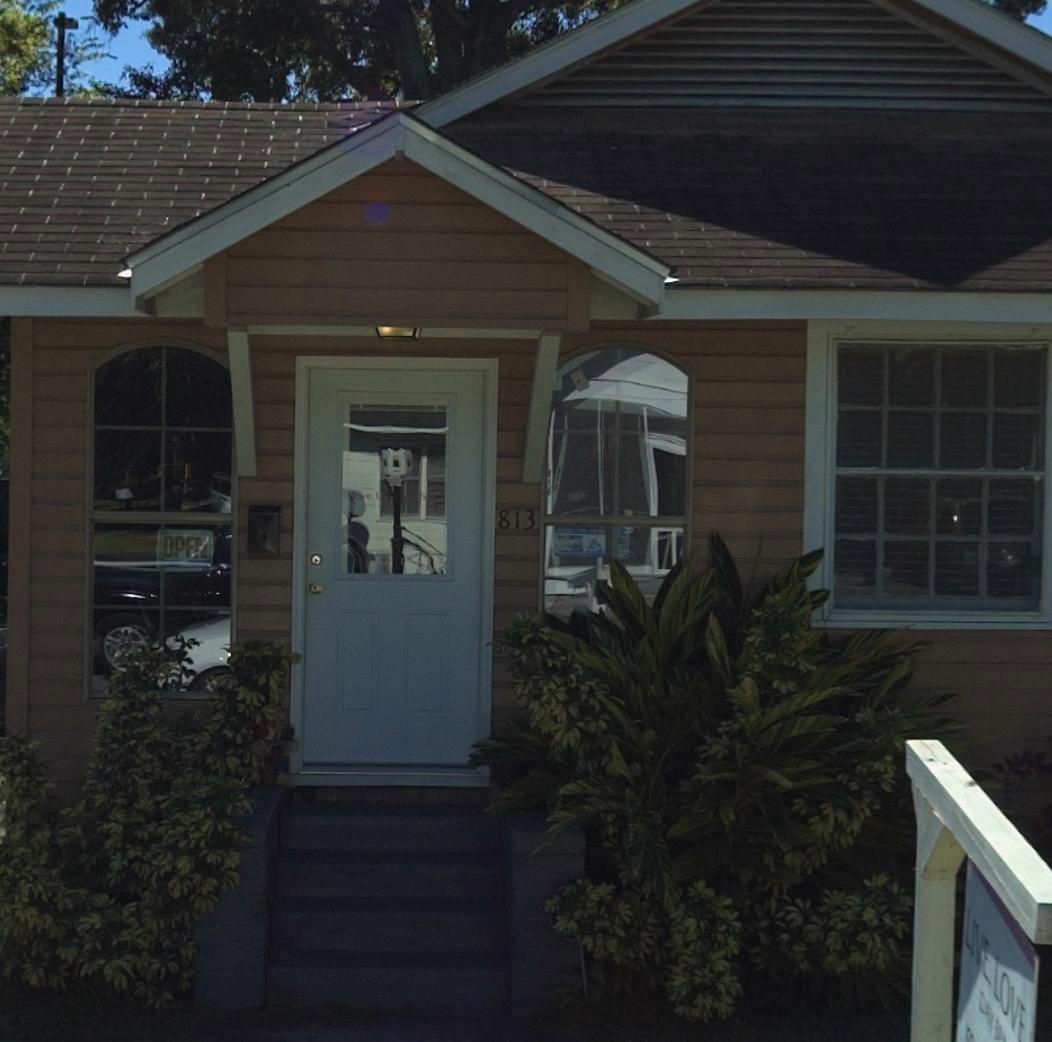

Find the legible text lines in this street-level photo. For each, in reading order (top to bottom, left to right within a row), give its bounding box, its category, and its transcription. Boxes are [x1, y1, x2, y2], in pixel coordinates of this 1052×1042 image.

[497, 508, 536, 531] StreetNumber: 813
[163, 534, 210, 561] None: OPE*
[963, 905, 1028, 1042] None: LIVE LOVE